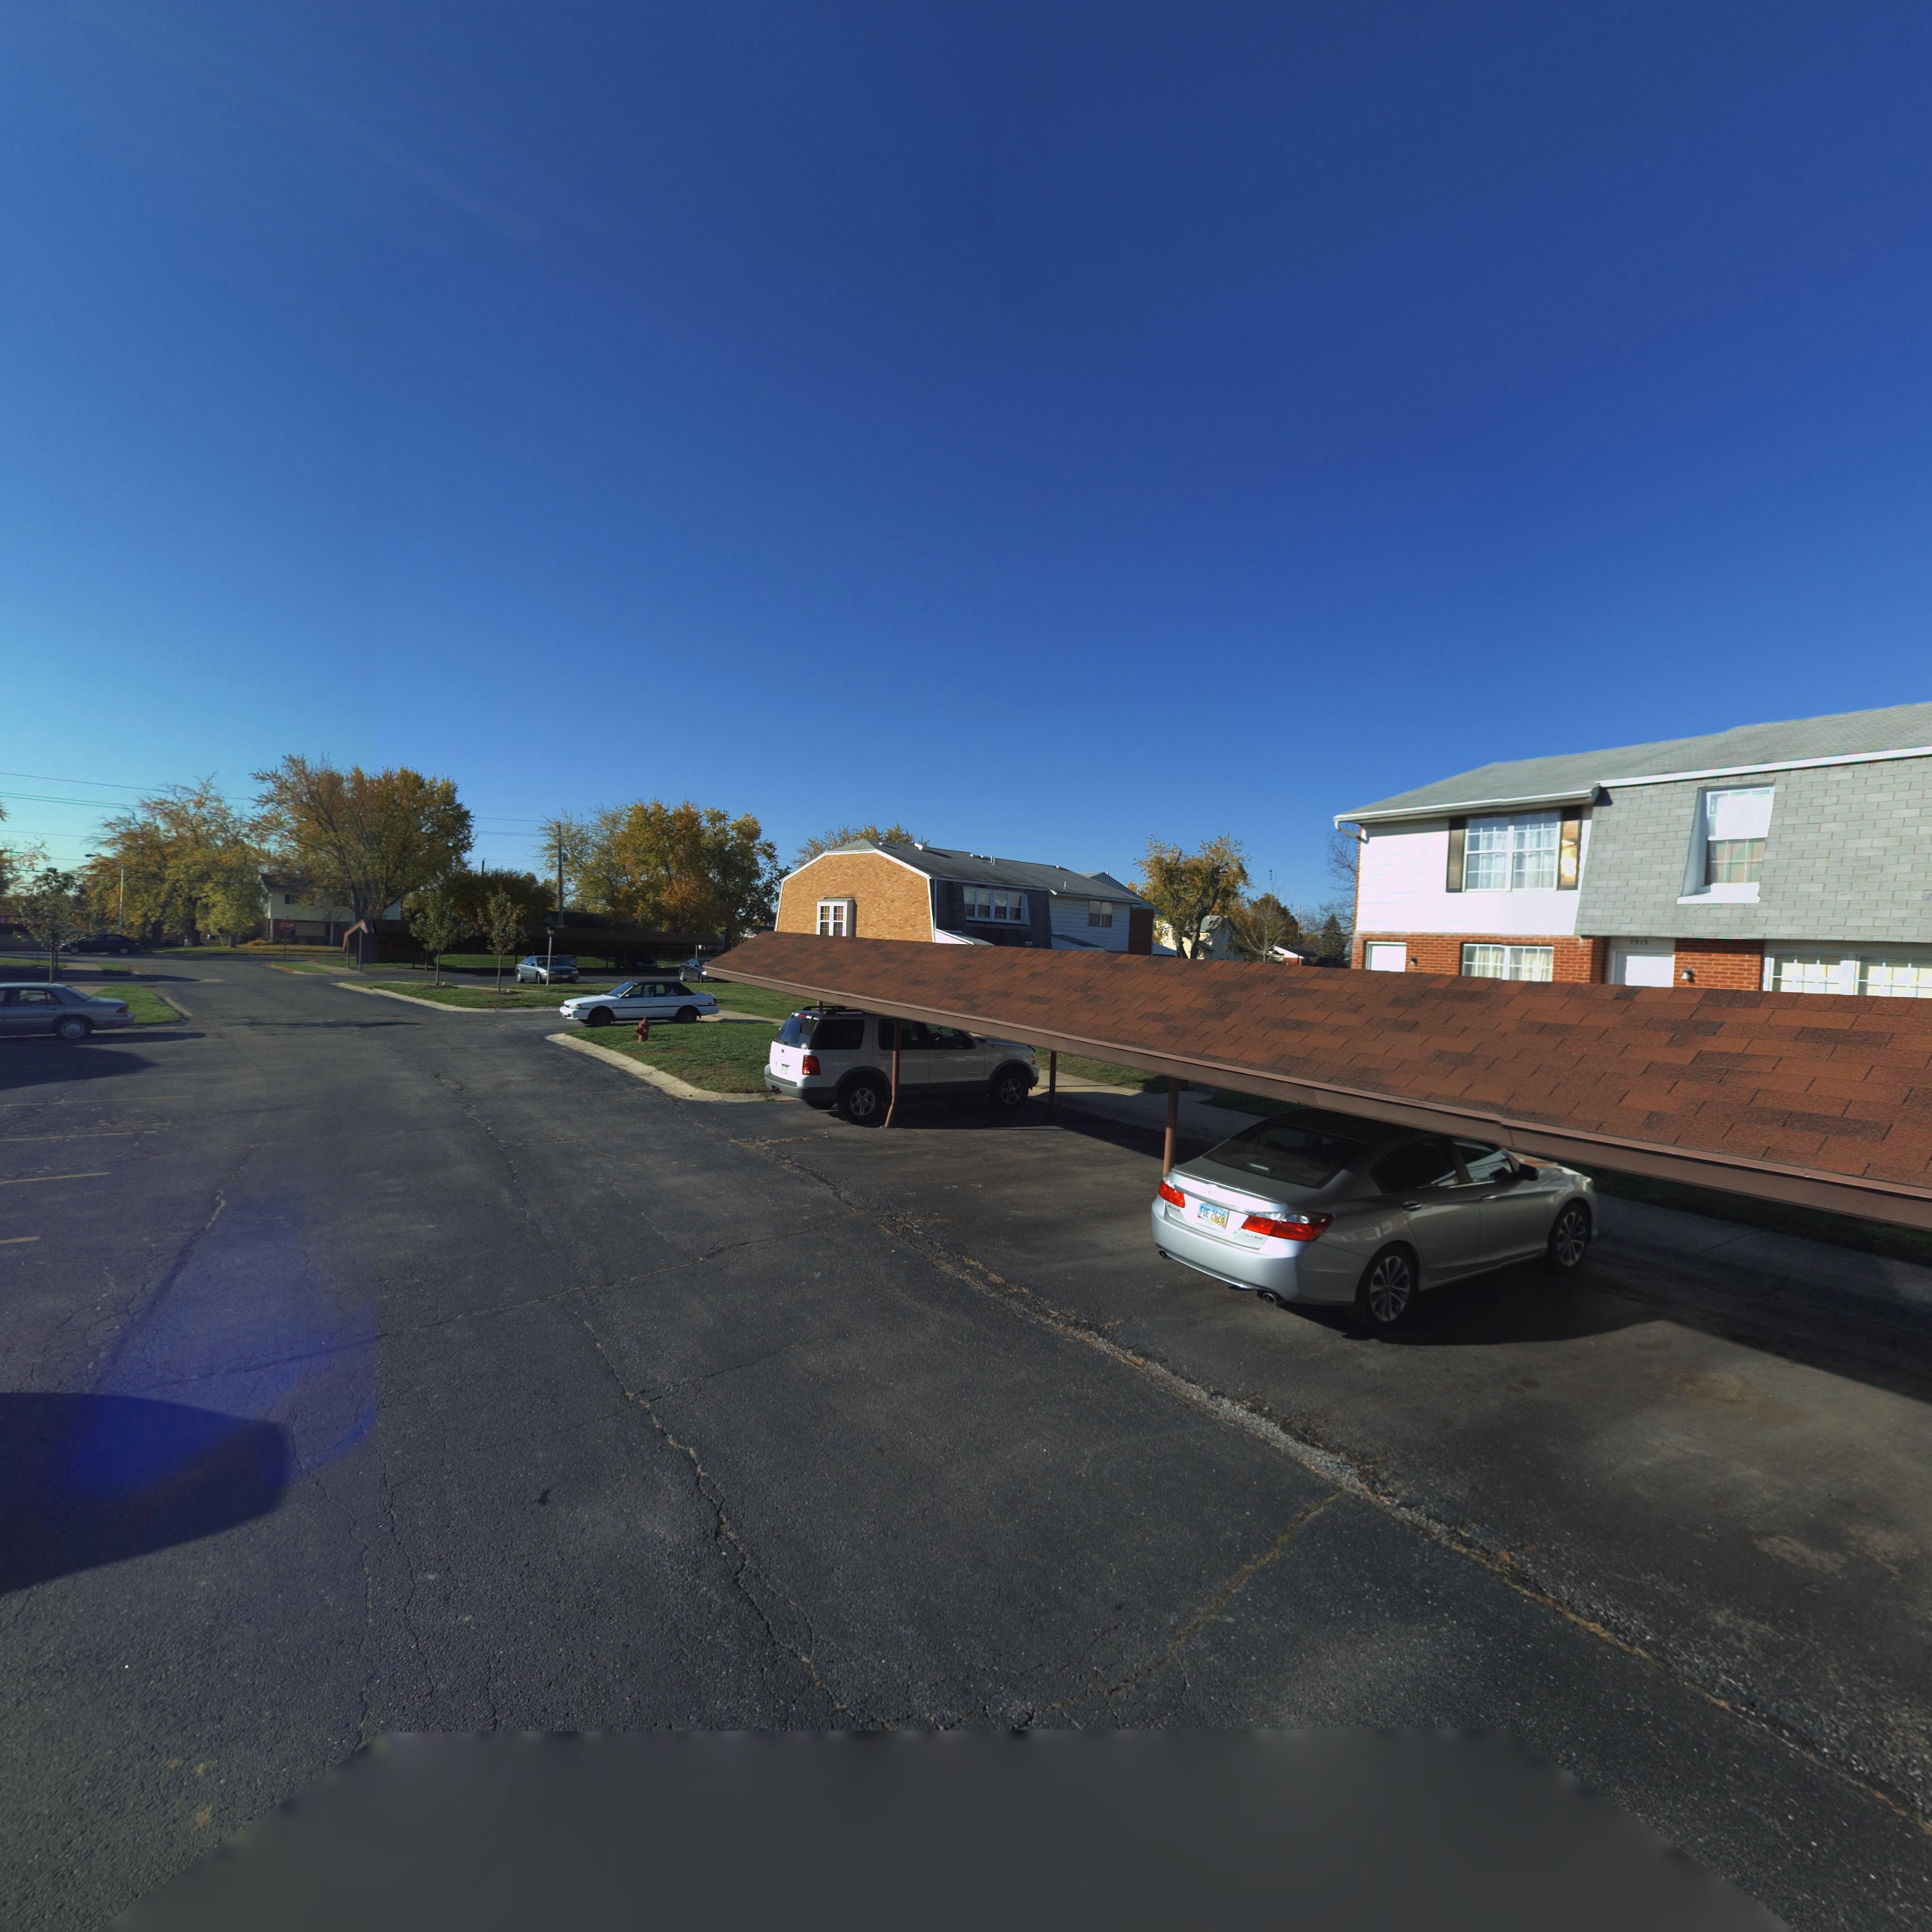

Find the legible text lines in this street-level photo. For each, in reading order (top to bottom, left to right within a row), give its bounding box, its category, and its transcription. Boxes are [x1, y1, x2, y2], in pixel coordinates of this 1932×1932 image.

[1629, 938, 1650, 946] StreetNumber: 7519